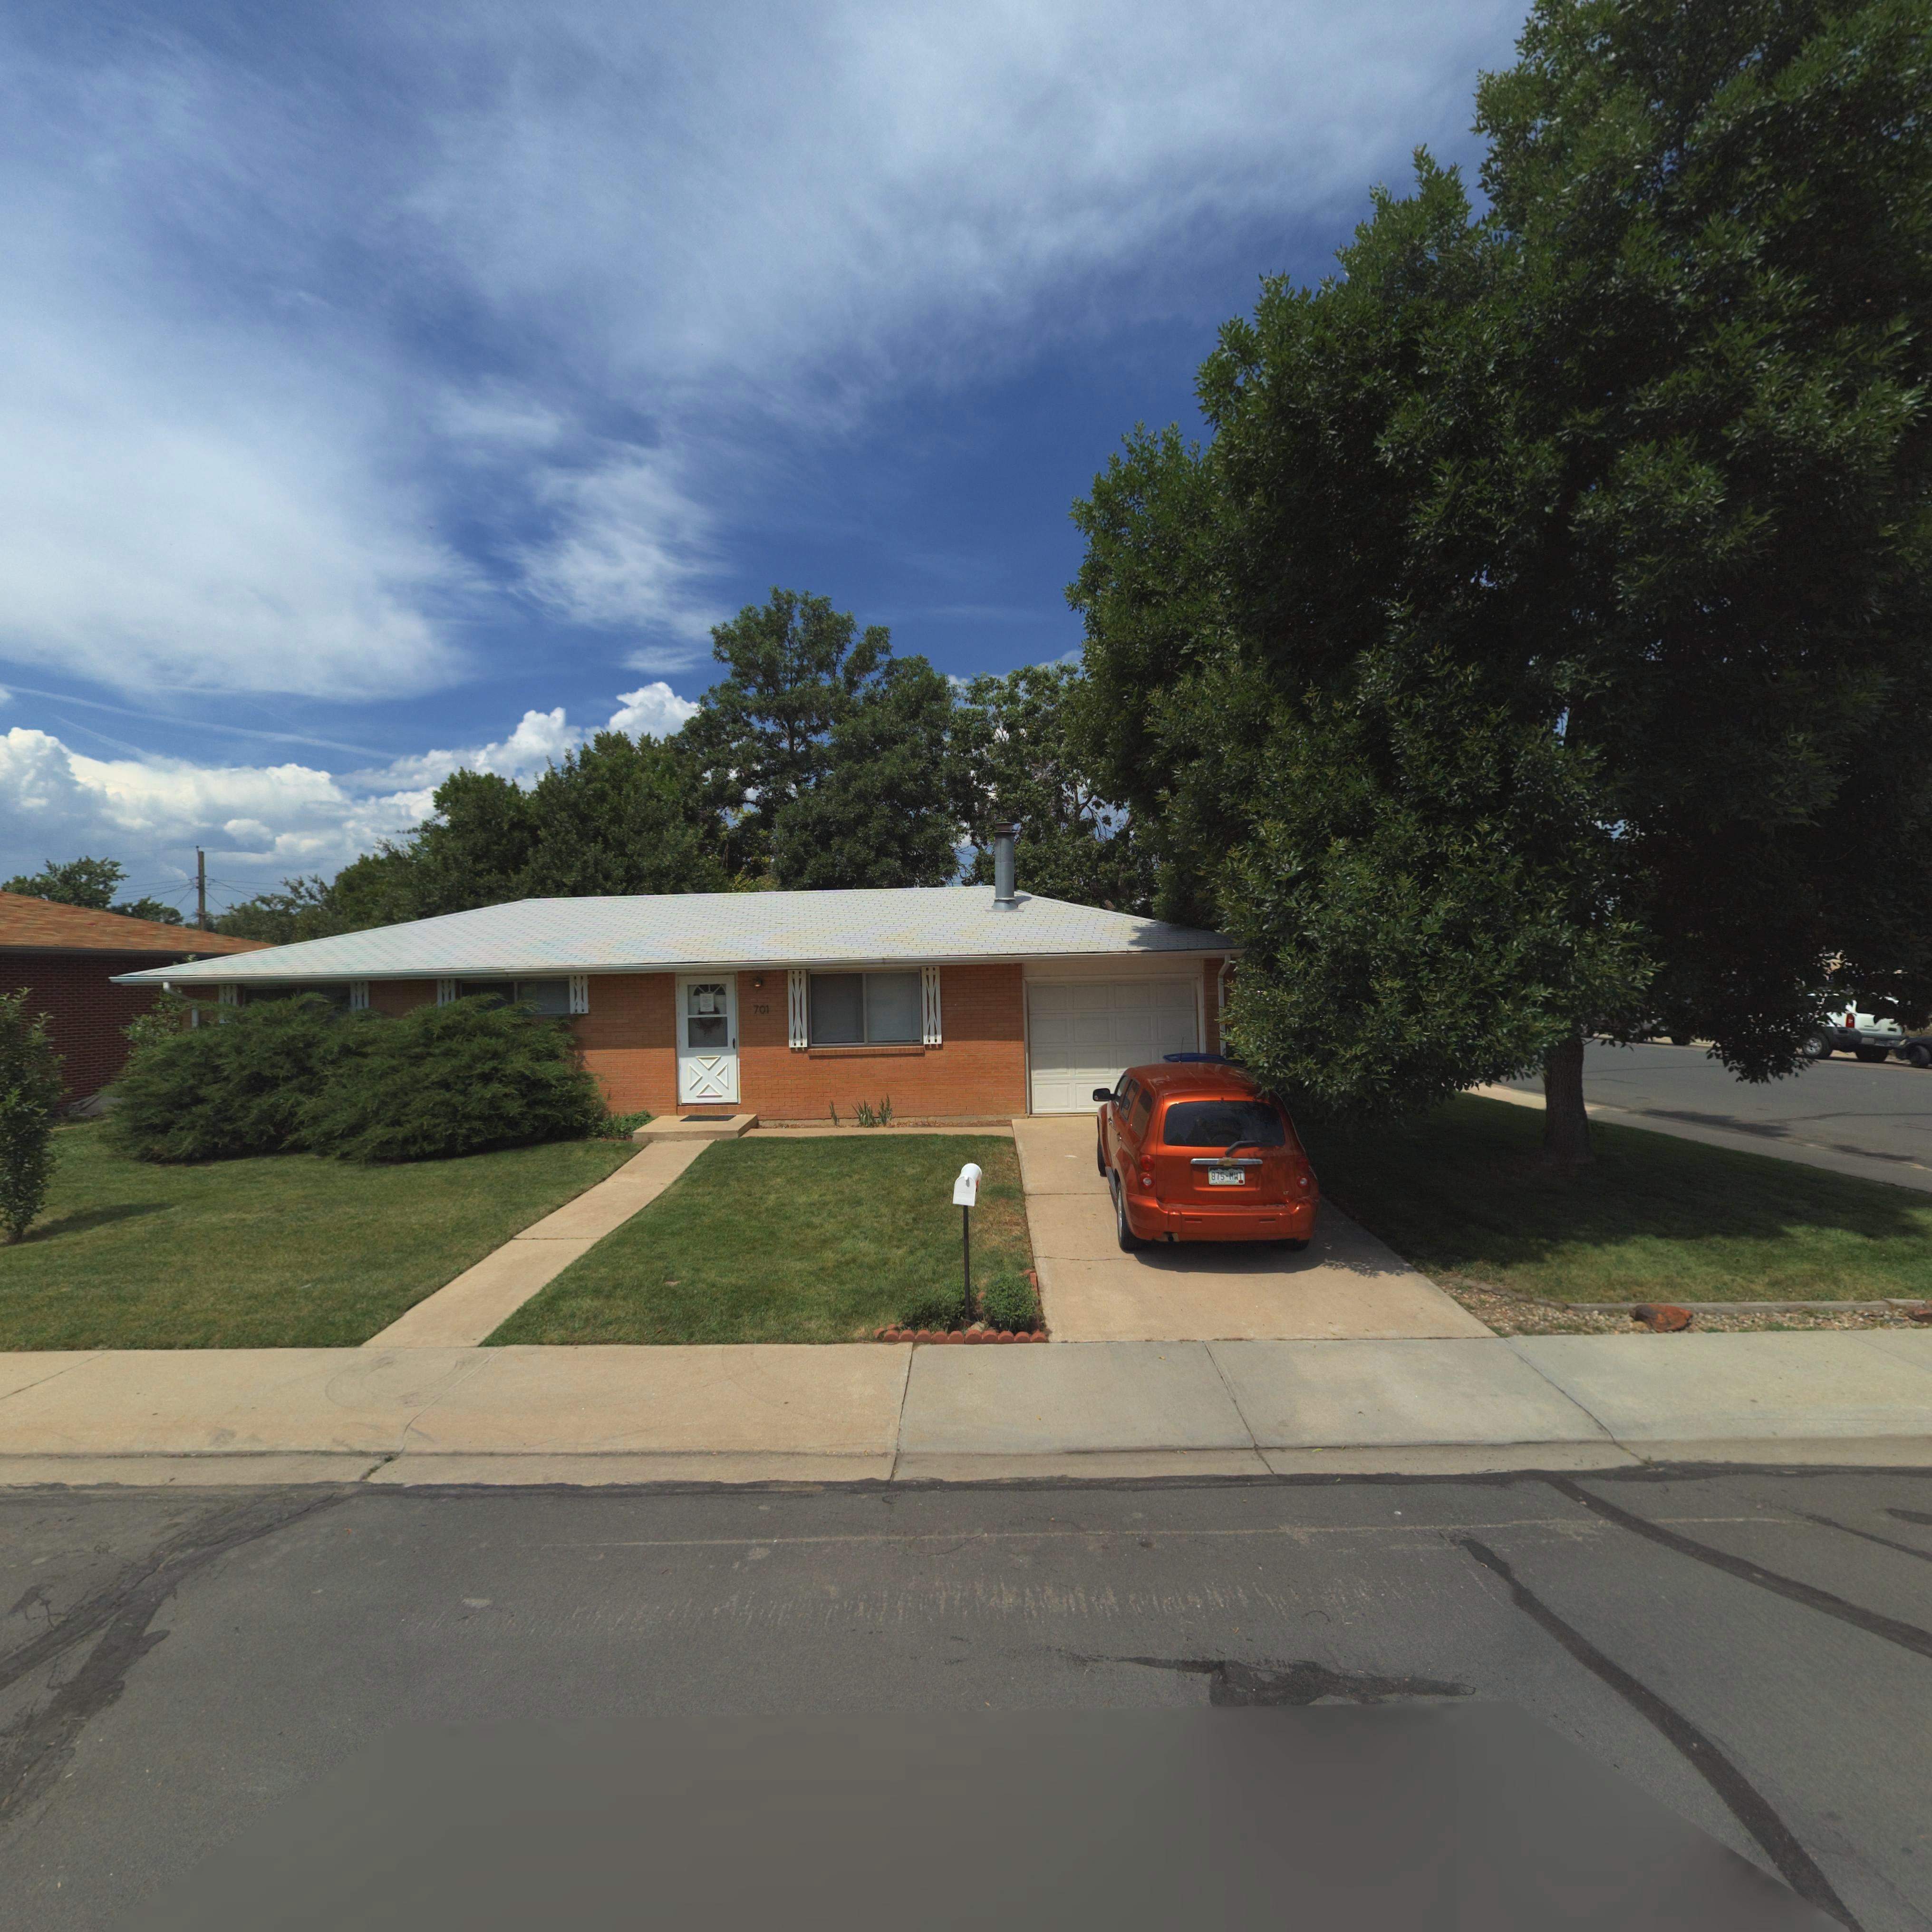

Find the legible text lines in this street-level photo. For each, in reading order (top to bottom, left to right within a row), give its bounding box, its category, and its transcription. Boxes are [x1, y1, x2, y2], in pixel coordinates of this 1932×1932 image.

[752, 1004, 770, 1014] StreetNumber: 701